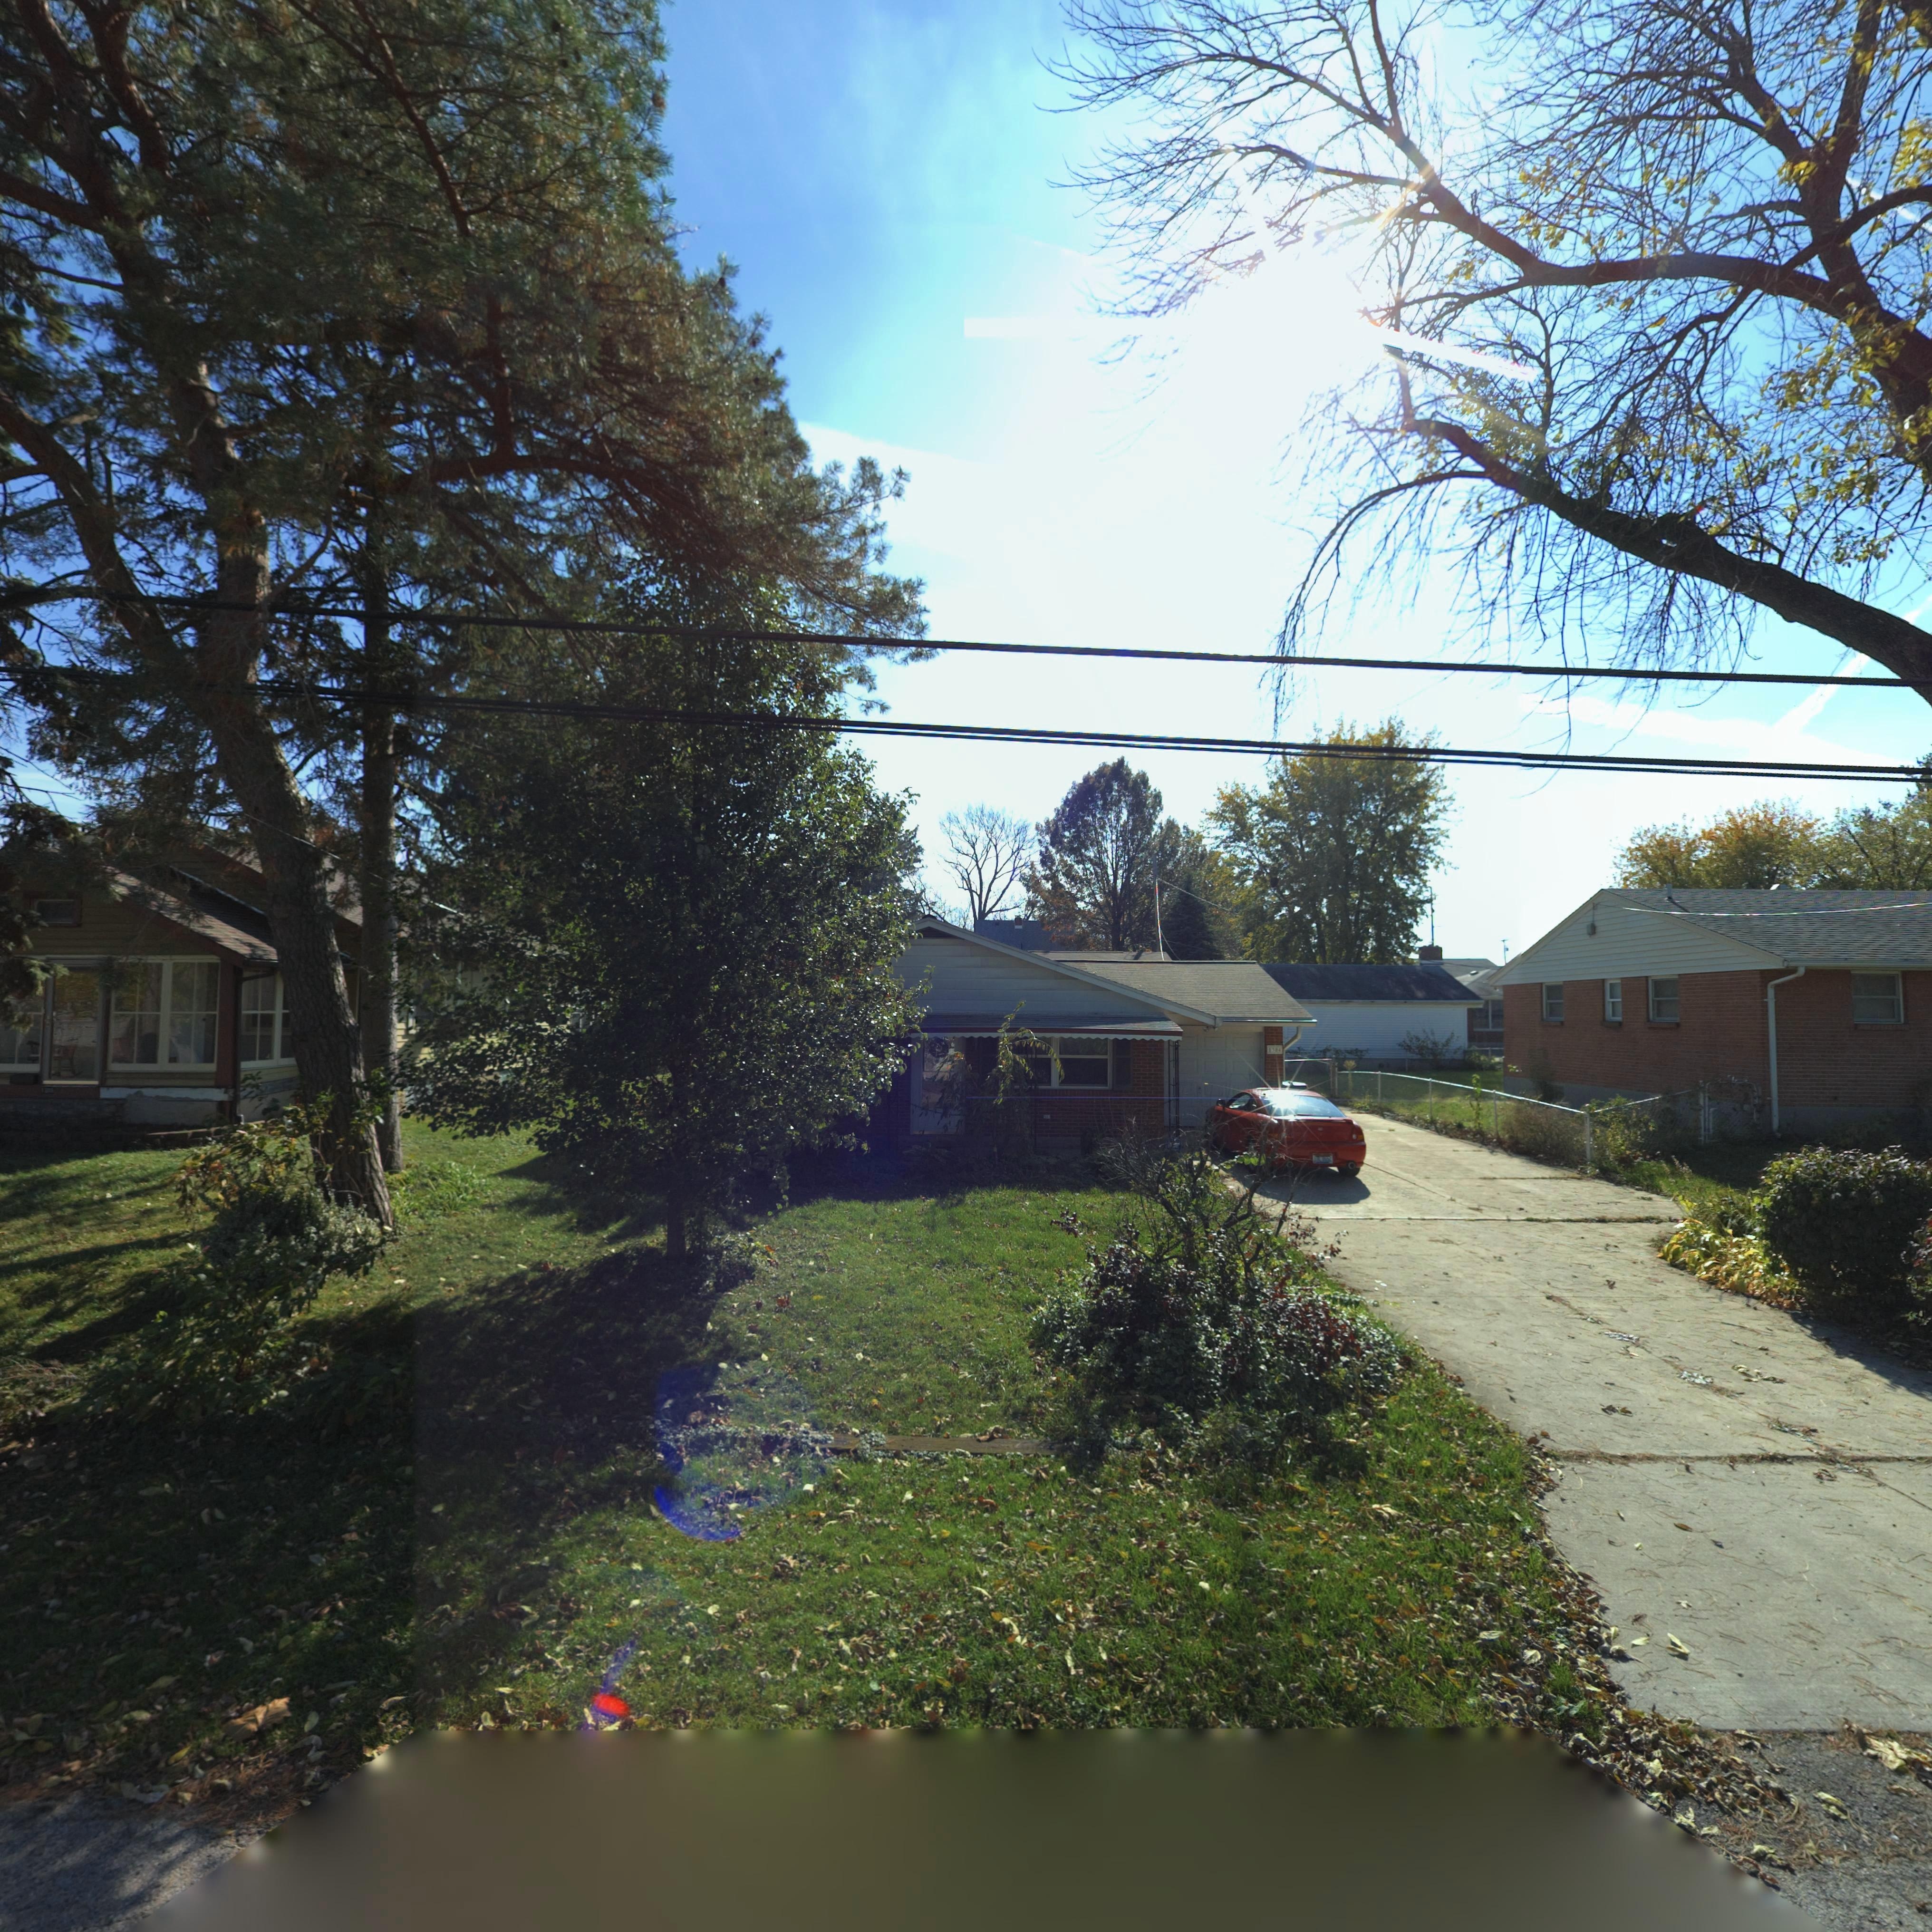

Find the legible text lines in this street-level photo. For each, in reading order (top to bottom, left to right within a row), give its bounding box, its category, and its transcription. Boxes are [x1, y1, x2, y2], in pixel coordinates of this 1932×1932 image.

[1268, 1047, 1281, 1053] StreetNumber: 1304
[41, 1087, 54, 1093] StreetNumber: 1308
[1314, 1156, 1331, 1161] None: EDL 6652